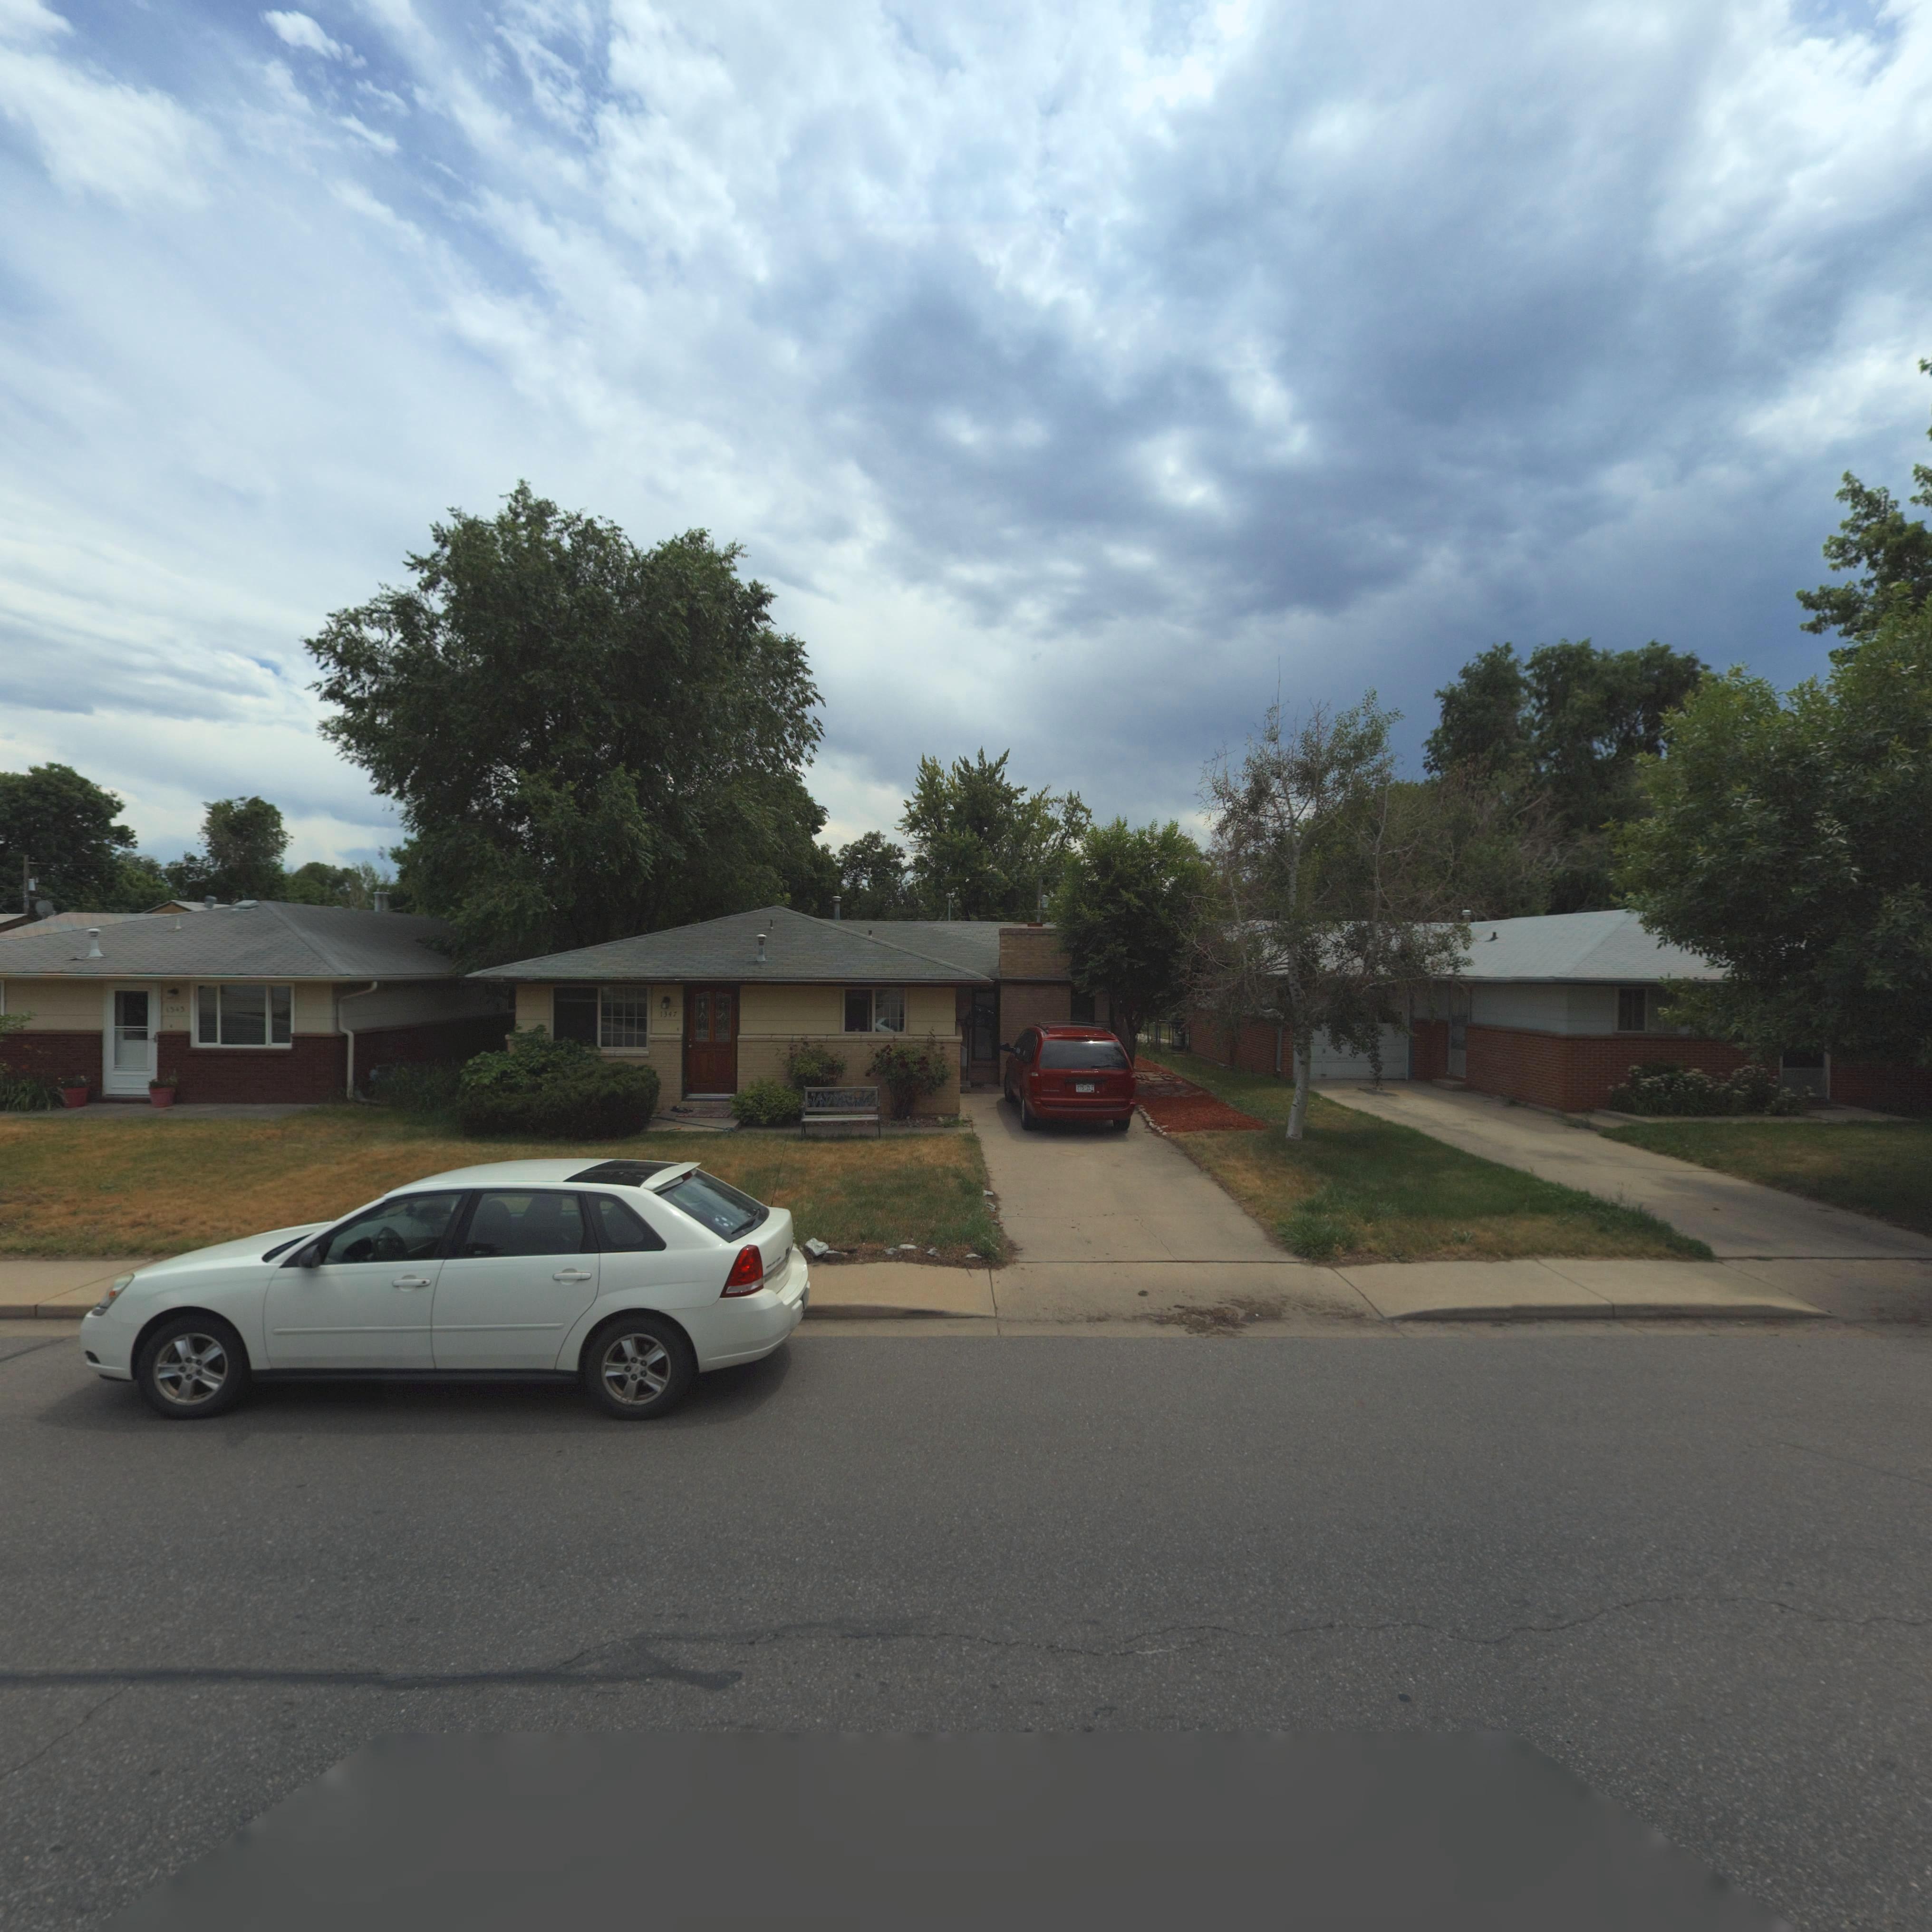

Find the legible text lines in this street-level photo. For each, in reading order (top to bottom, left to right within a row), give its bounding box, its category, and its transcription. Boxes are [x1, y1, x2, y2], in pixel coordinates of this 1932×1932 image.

[165, 1005, 185, 1014] StreetNumber: 13**
[659, 1011, 677, 1017] StreetNumber: 1347